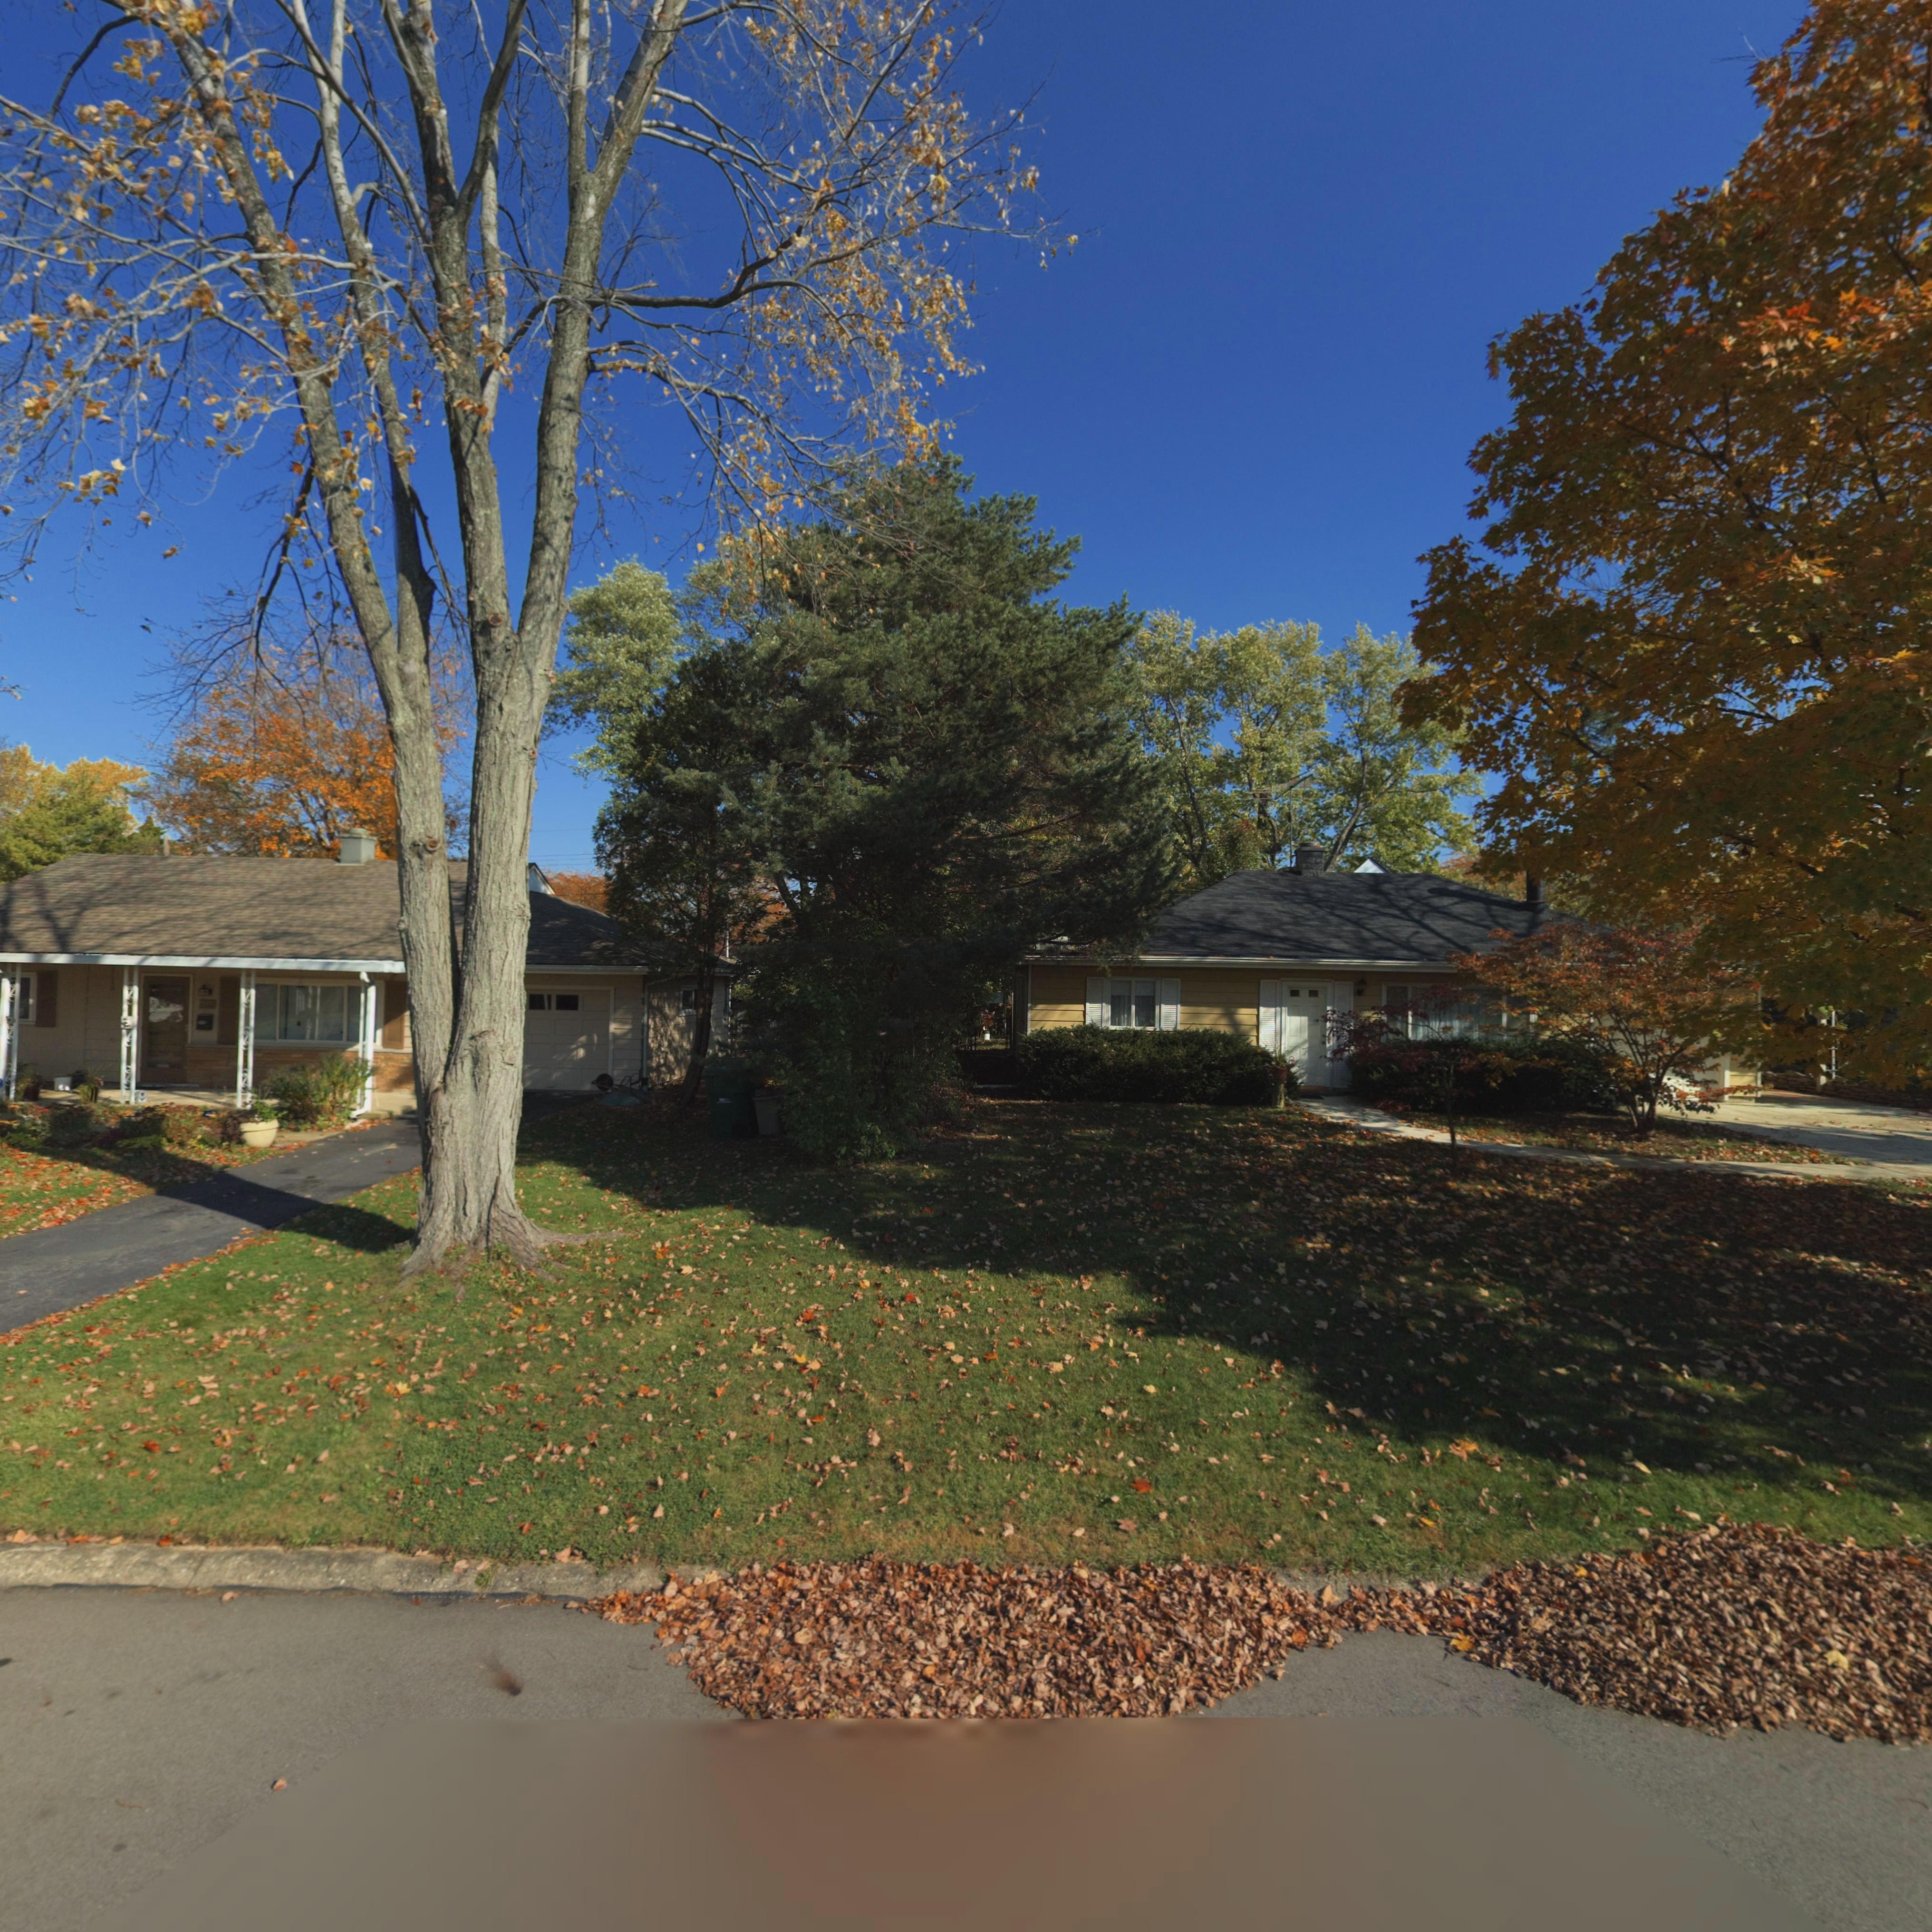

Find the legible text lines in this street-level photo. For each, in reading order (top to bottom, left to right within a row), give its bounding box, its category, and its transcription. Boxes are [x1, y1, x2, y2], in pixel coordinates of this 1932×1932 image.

[1358, 1009, 1372, 1014] StreetNumber: 37**